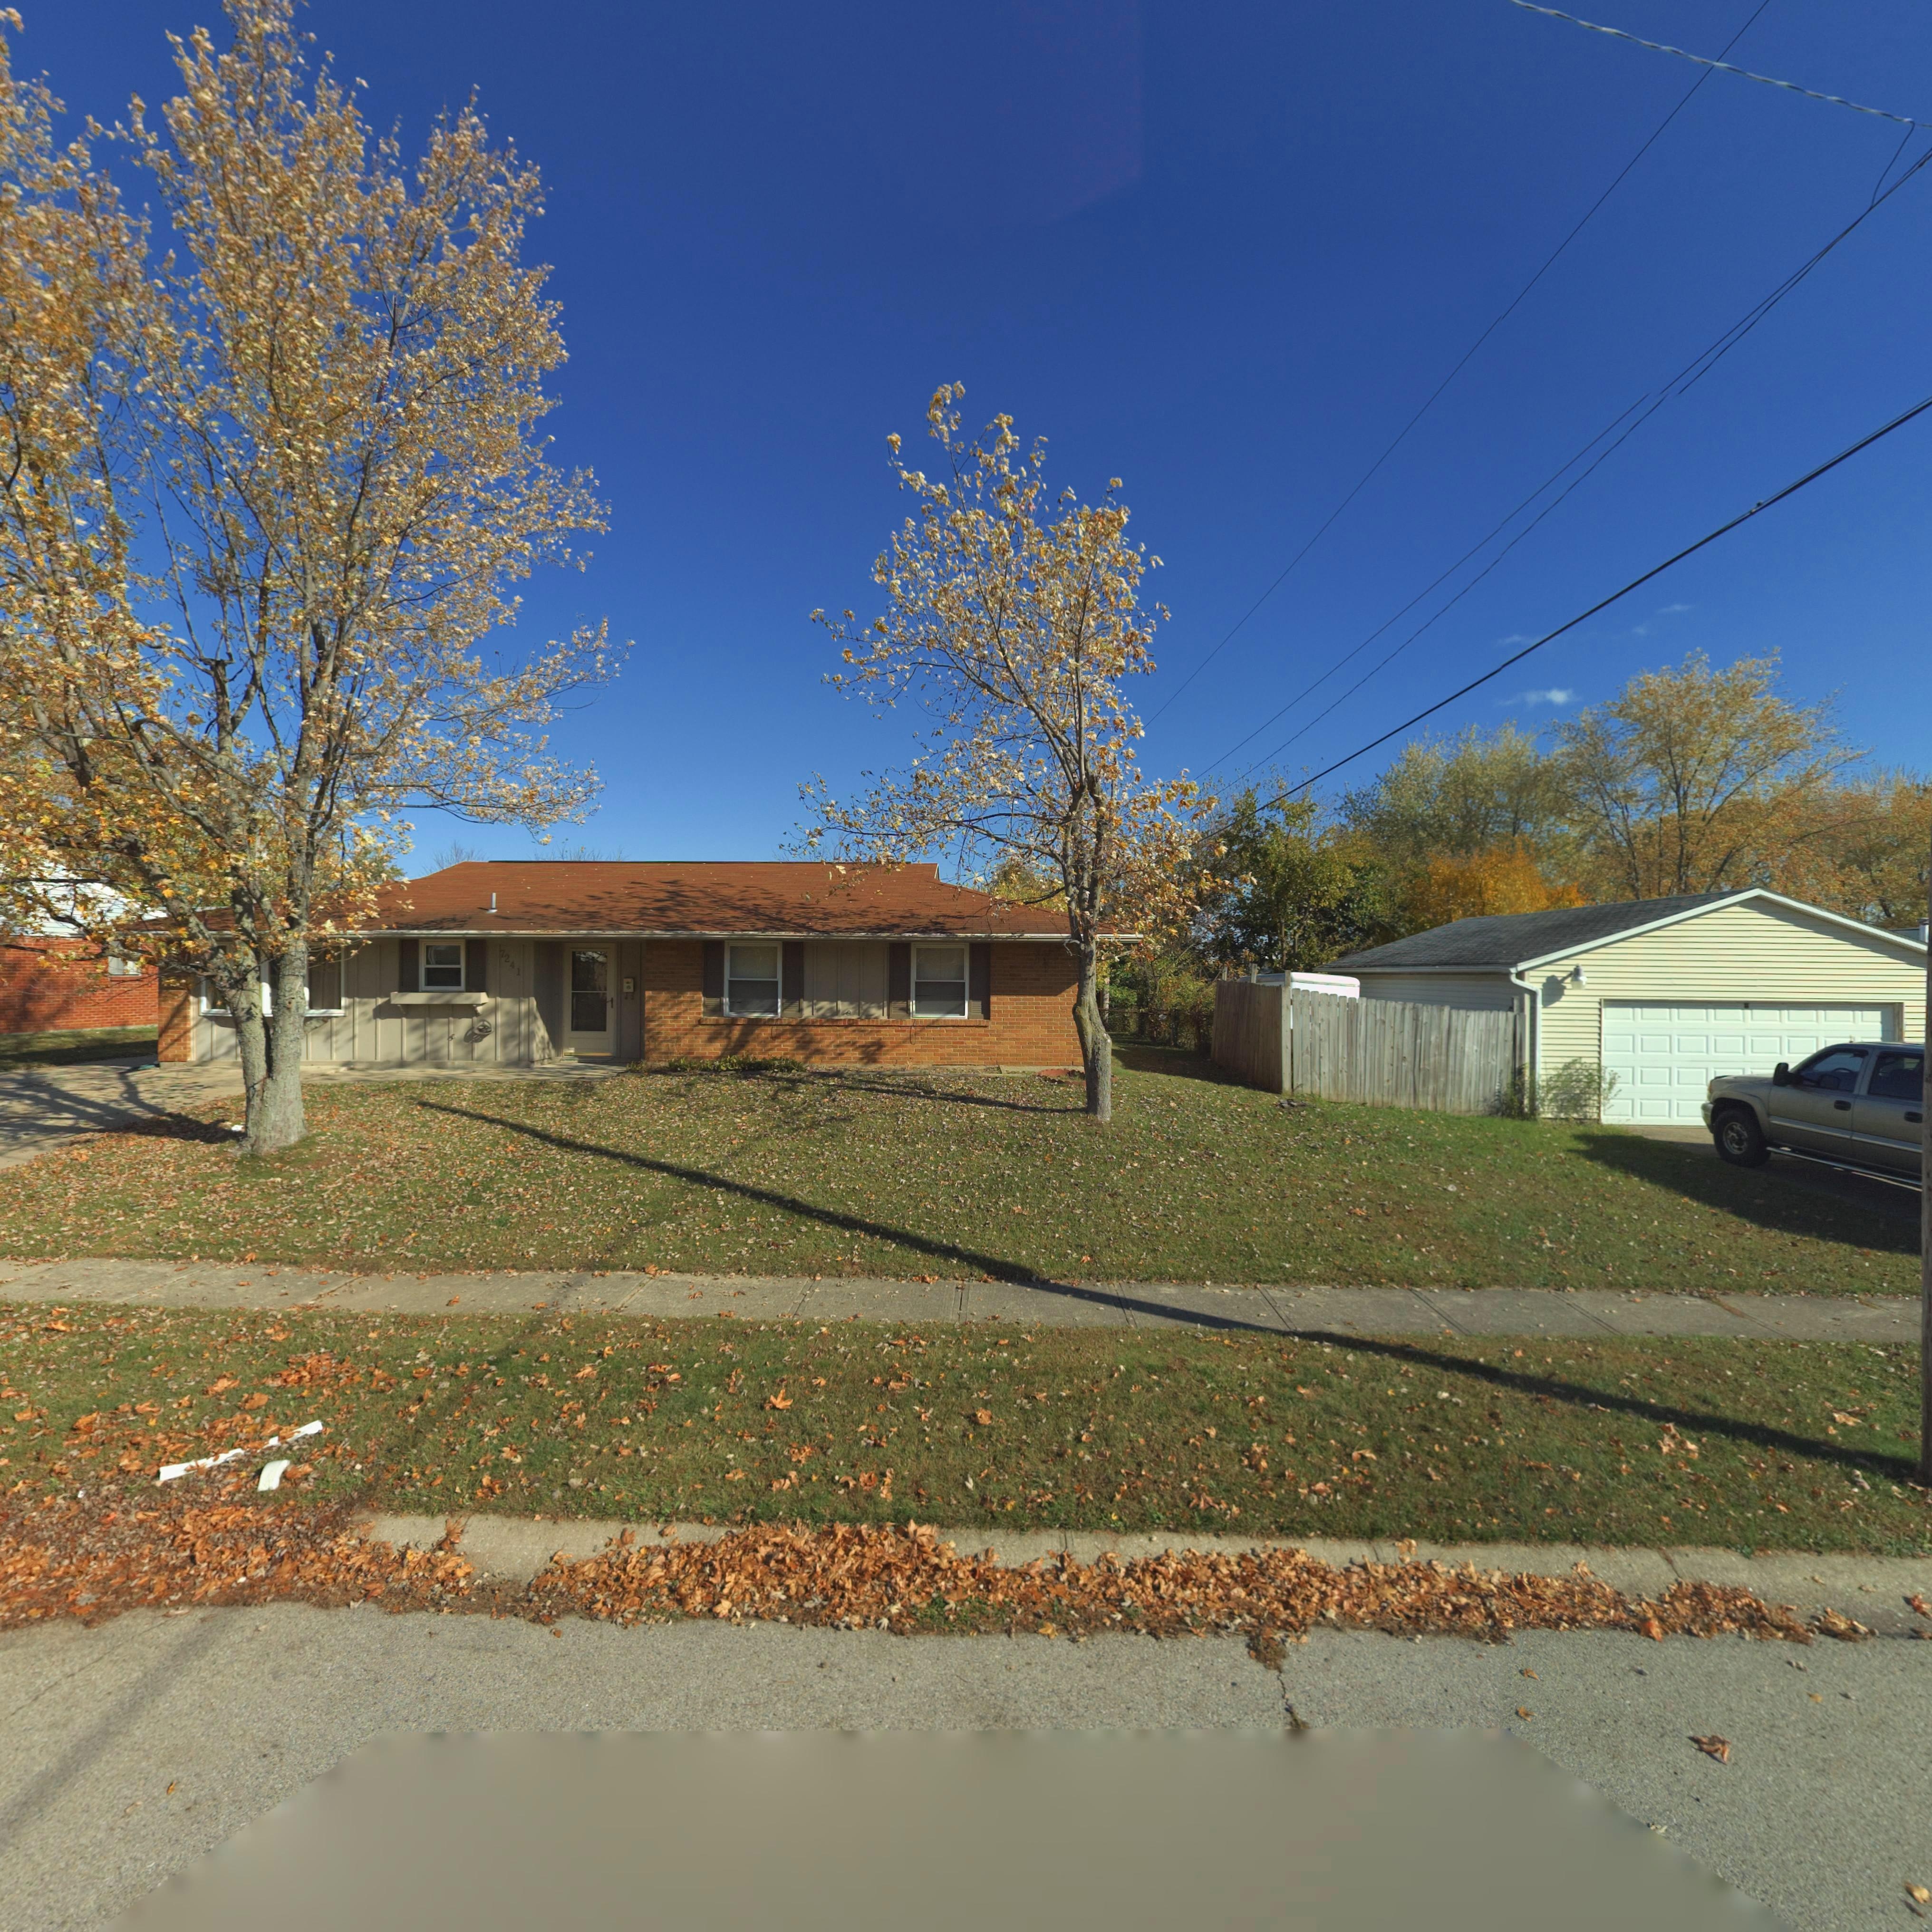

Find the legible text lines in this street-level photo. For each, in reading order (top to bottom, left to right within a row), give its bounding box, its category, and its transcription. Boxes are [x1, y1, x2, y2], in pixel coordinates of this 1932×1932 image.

[499, 949, 522, 976] StreetNumber: 7241